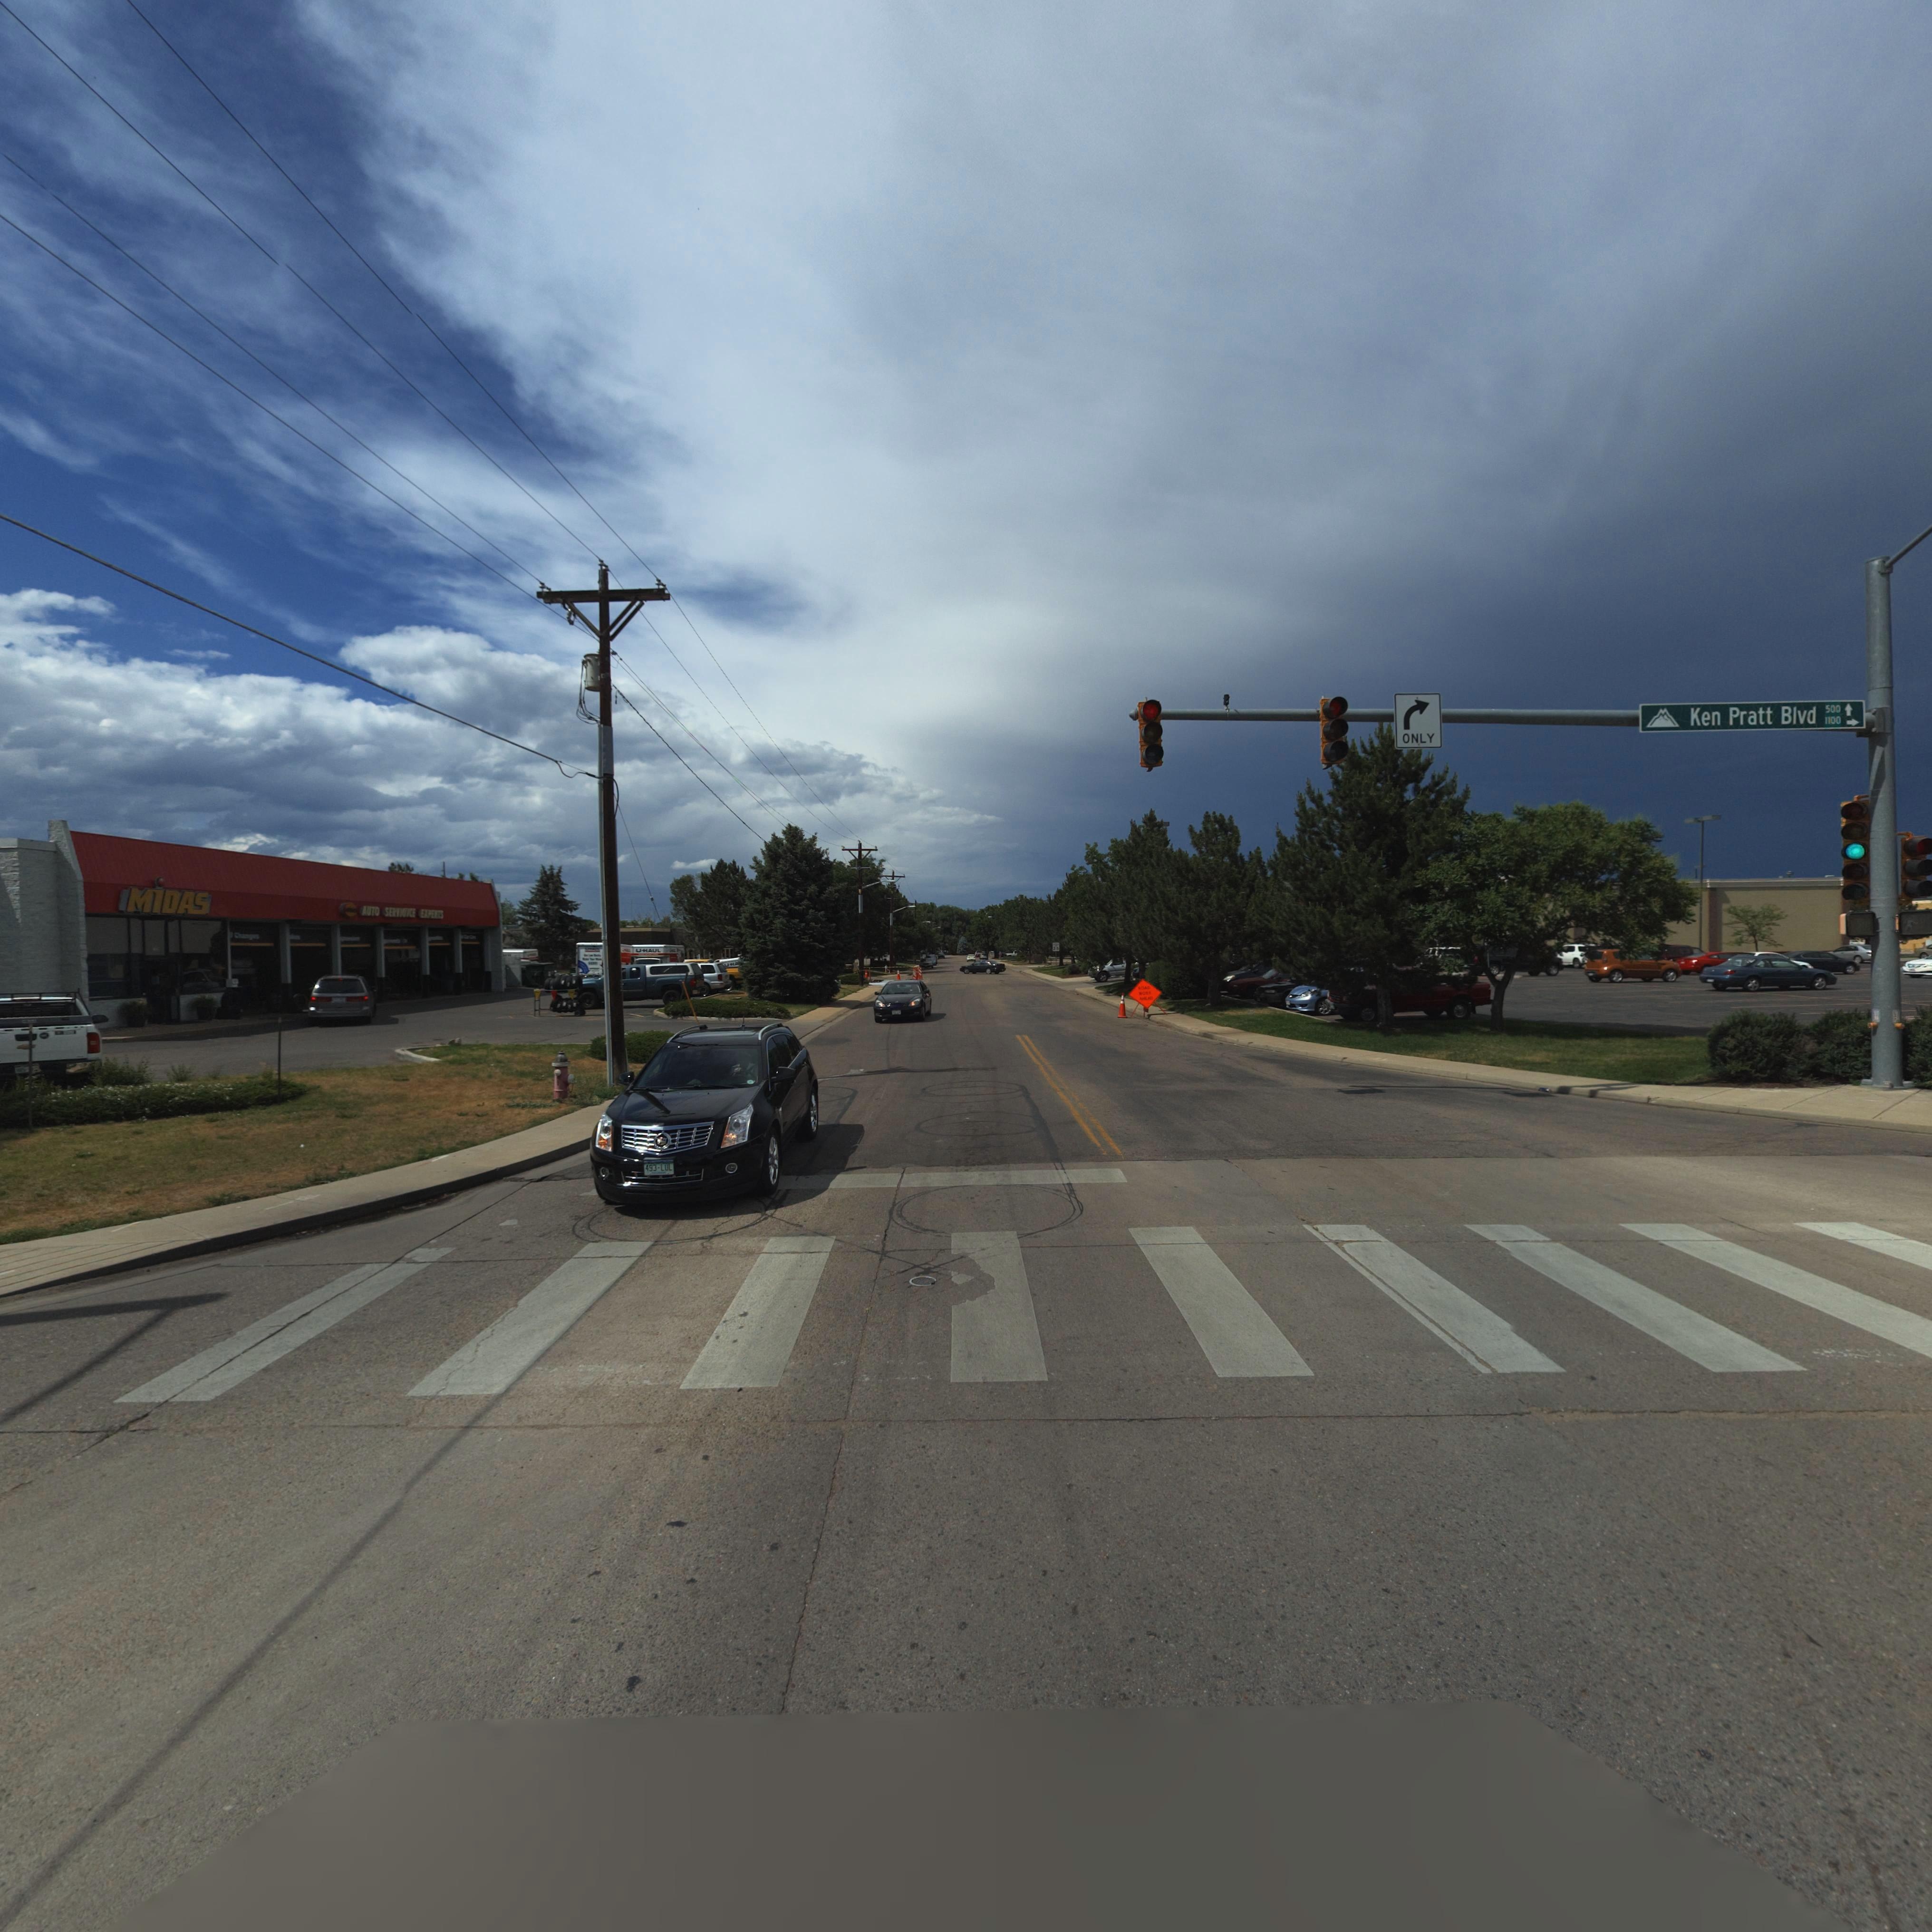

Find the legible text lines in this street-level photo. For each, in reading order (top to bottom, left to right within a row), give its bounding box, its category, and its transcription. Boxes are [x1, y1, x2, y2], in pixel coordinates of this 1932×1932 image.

[1690, 705, 1816, 726] StreetName: Ken Pratt Blvd
[1824, 705, 1841, 713] StreetNumberRange: 500
[1824, 715, 1860, 727] StreetNumberRange: 1100 ->
[125, 877, 209, 915] BusinessName: MiDAS